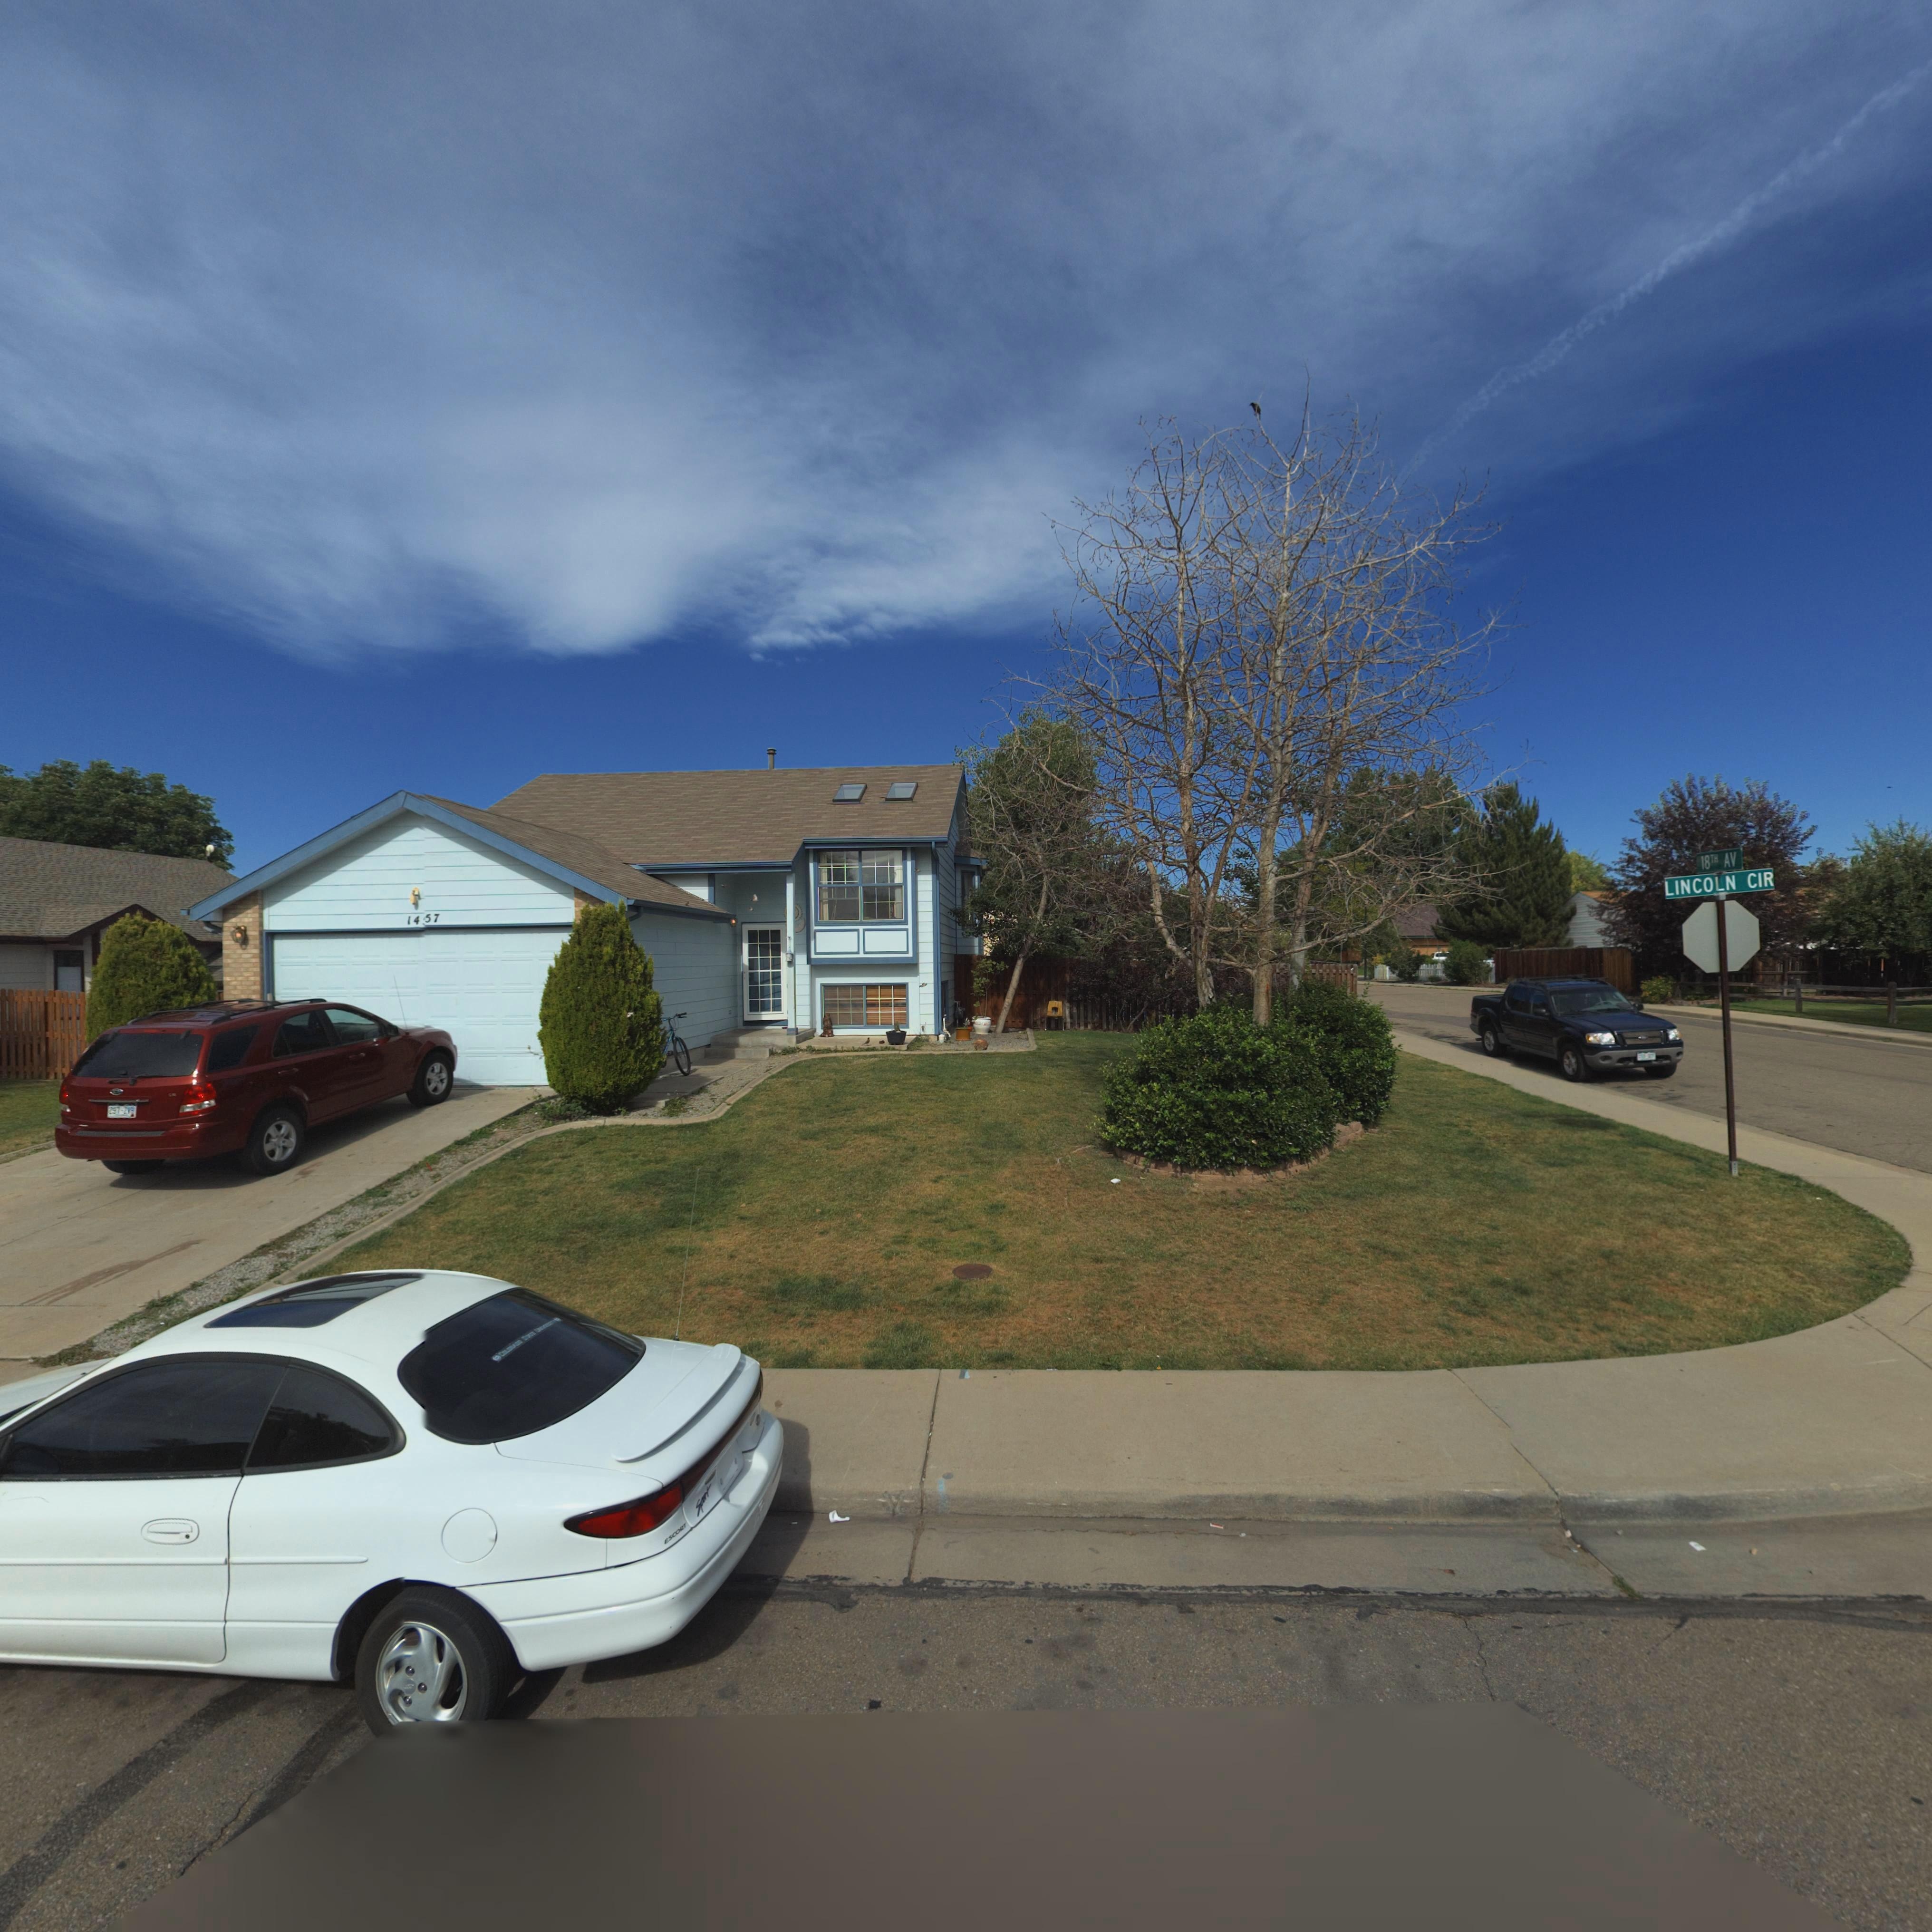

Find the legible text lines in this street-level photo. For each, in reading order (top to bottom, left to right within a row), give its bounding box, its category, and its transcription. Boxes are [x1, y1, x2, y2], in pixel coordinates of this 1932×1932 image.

[1700, 851, 1738, 871] StreetName: 18TH AV
[1664, 870, 1775, 897] StreetName: LINCOLN CIR
[406, 913, 440, 926] StreetNumber: 1457